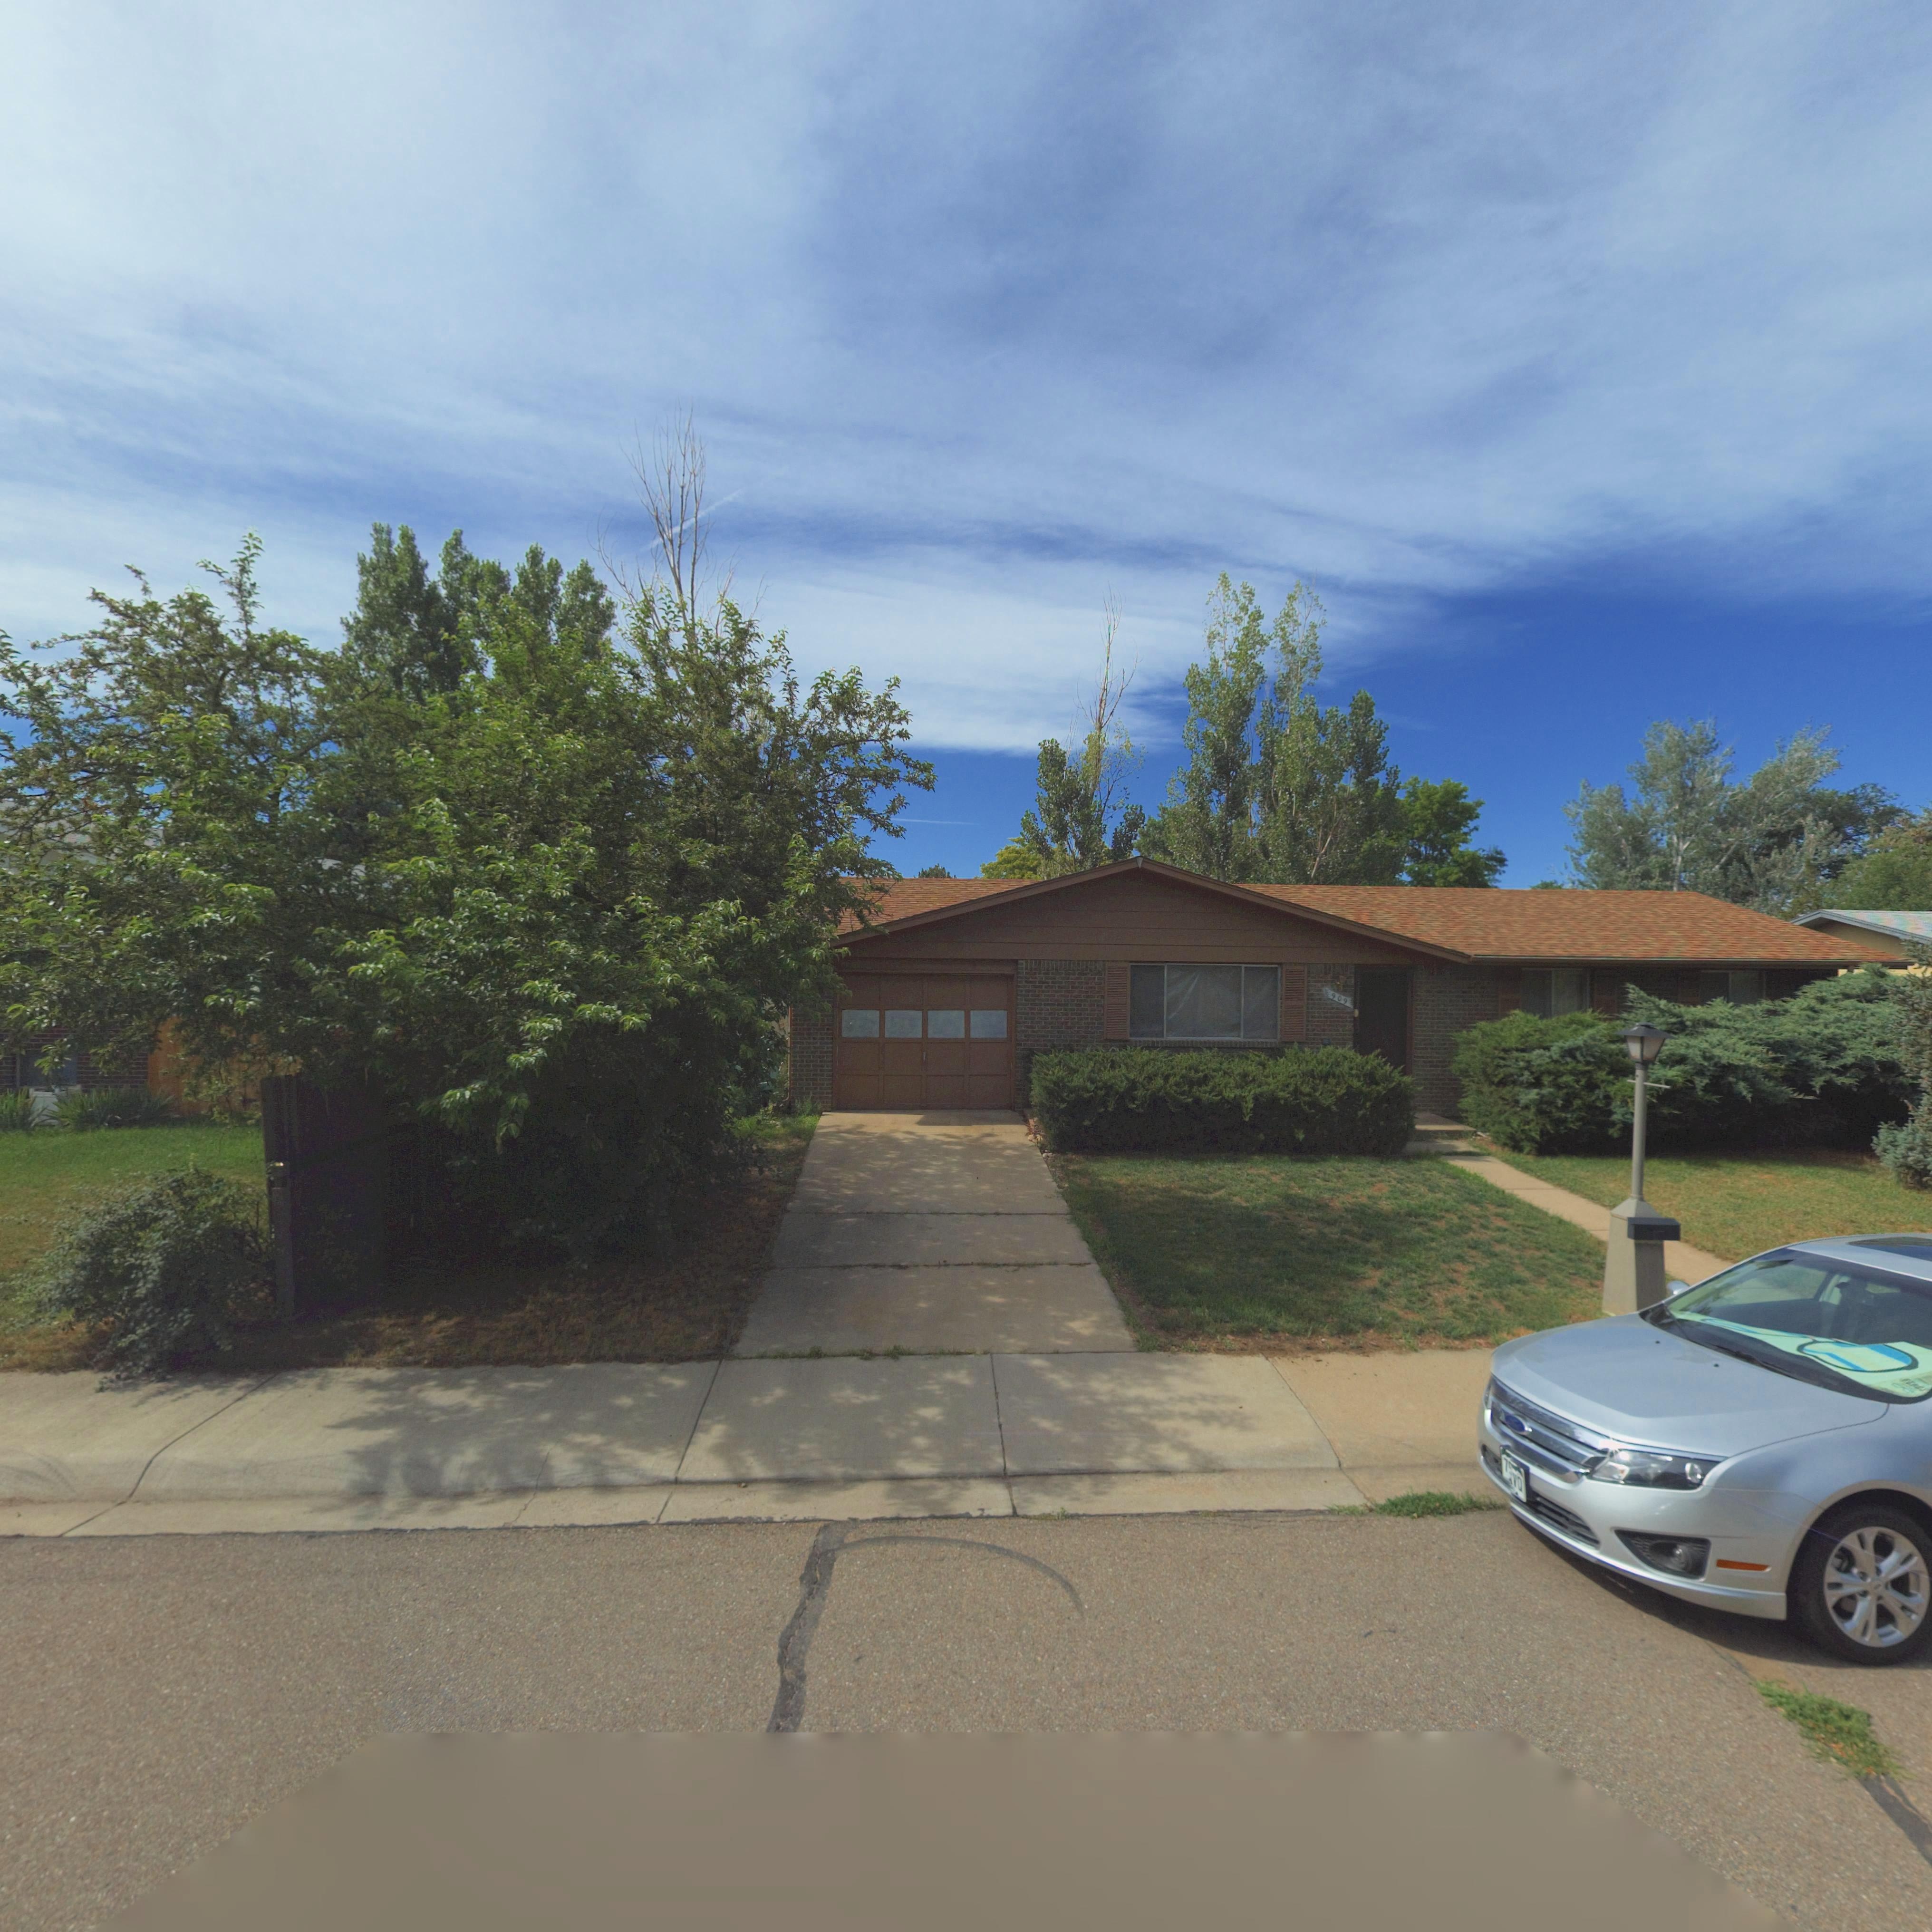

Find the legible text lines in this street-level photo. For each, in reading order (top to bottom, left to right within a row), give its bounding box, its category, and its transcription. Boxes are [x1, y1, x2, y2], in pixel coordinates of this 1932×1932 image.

[1330, 992, 1349, 1005] StreetNumber: 909